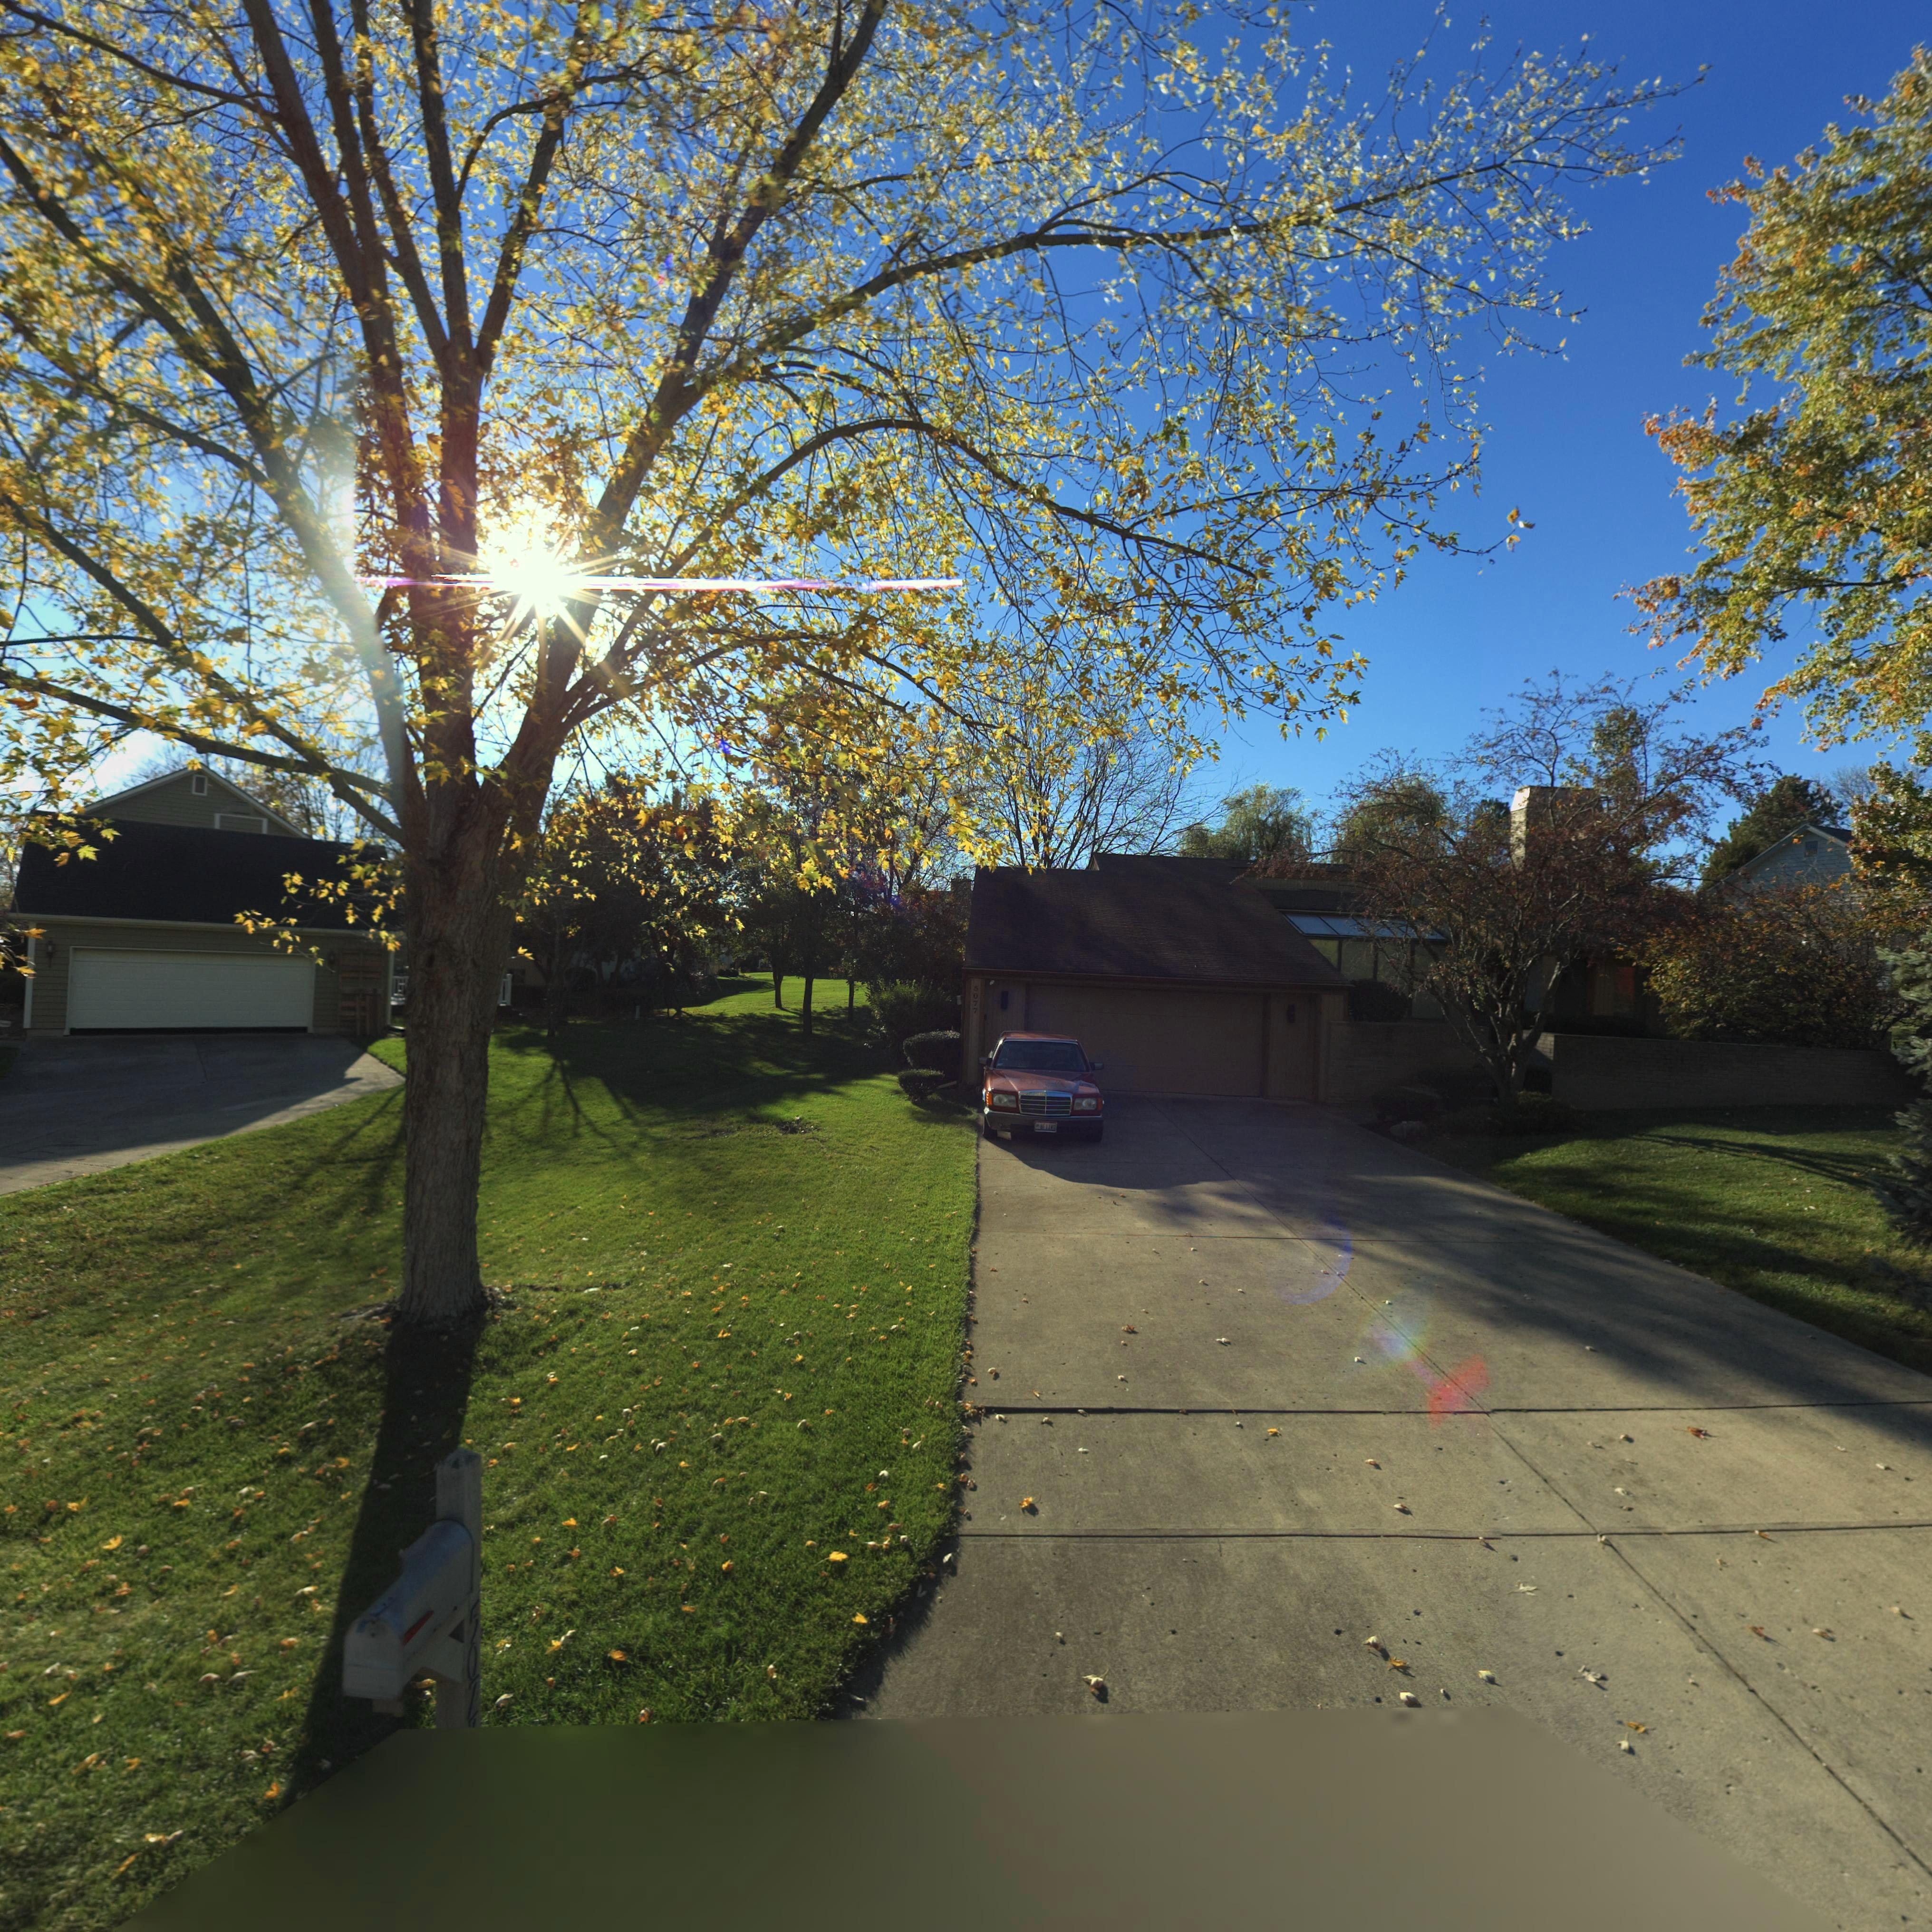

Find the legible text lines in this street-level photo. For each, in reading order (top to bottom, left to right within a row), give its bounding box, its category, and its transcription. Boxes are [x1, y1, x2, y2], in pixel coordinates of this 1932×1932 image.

[972, 984, 980, 1014] StreetNumber: 5077
[465, 1596, 481, 1724] StreetNumber: 507